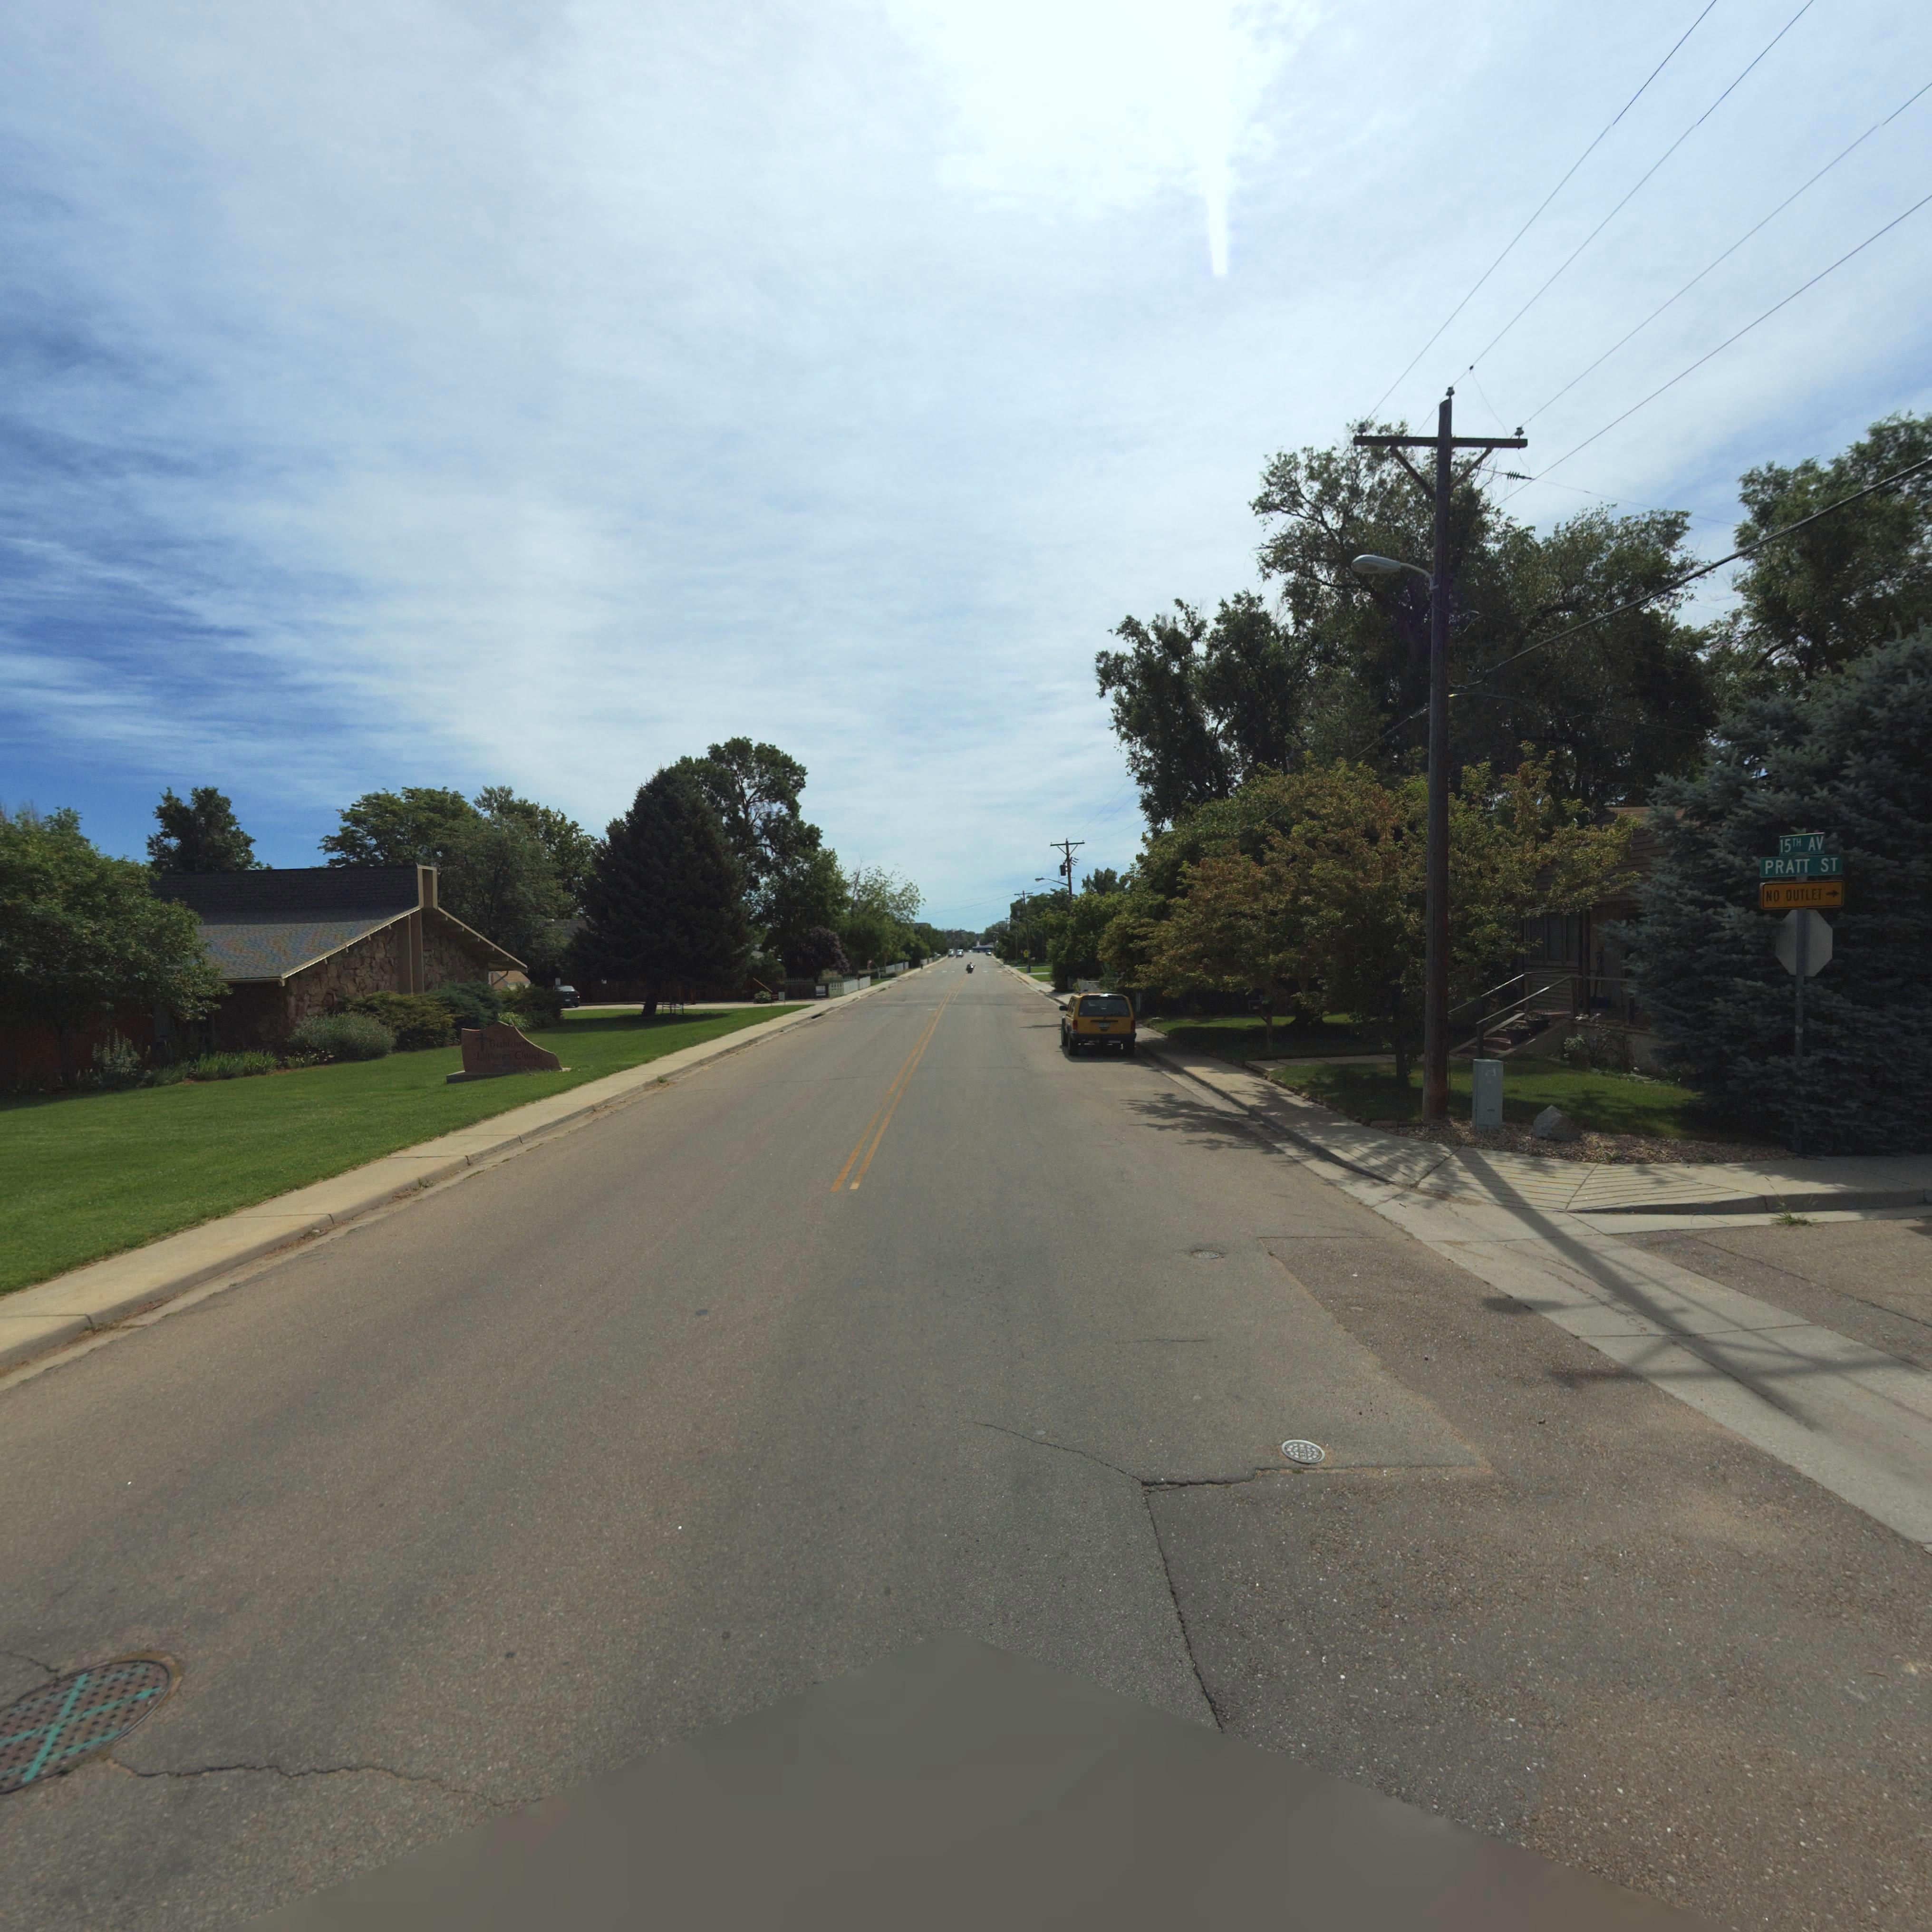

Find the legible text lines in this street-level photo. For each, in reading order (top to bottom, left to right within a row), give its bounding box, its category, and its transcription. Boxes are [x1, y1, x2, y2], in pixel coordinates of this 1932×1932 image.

[1779, 835, 1824, 854] StreetName: 15TH AV
[1764, 857, 1839, 875] StreetName: PRATT ST
[489, 1036, 532, 1049] BusinessName: B***l*h**
[476, 1050, 543, 1061] BusinessName: L**h*r*n Church